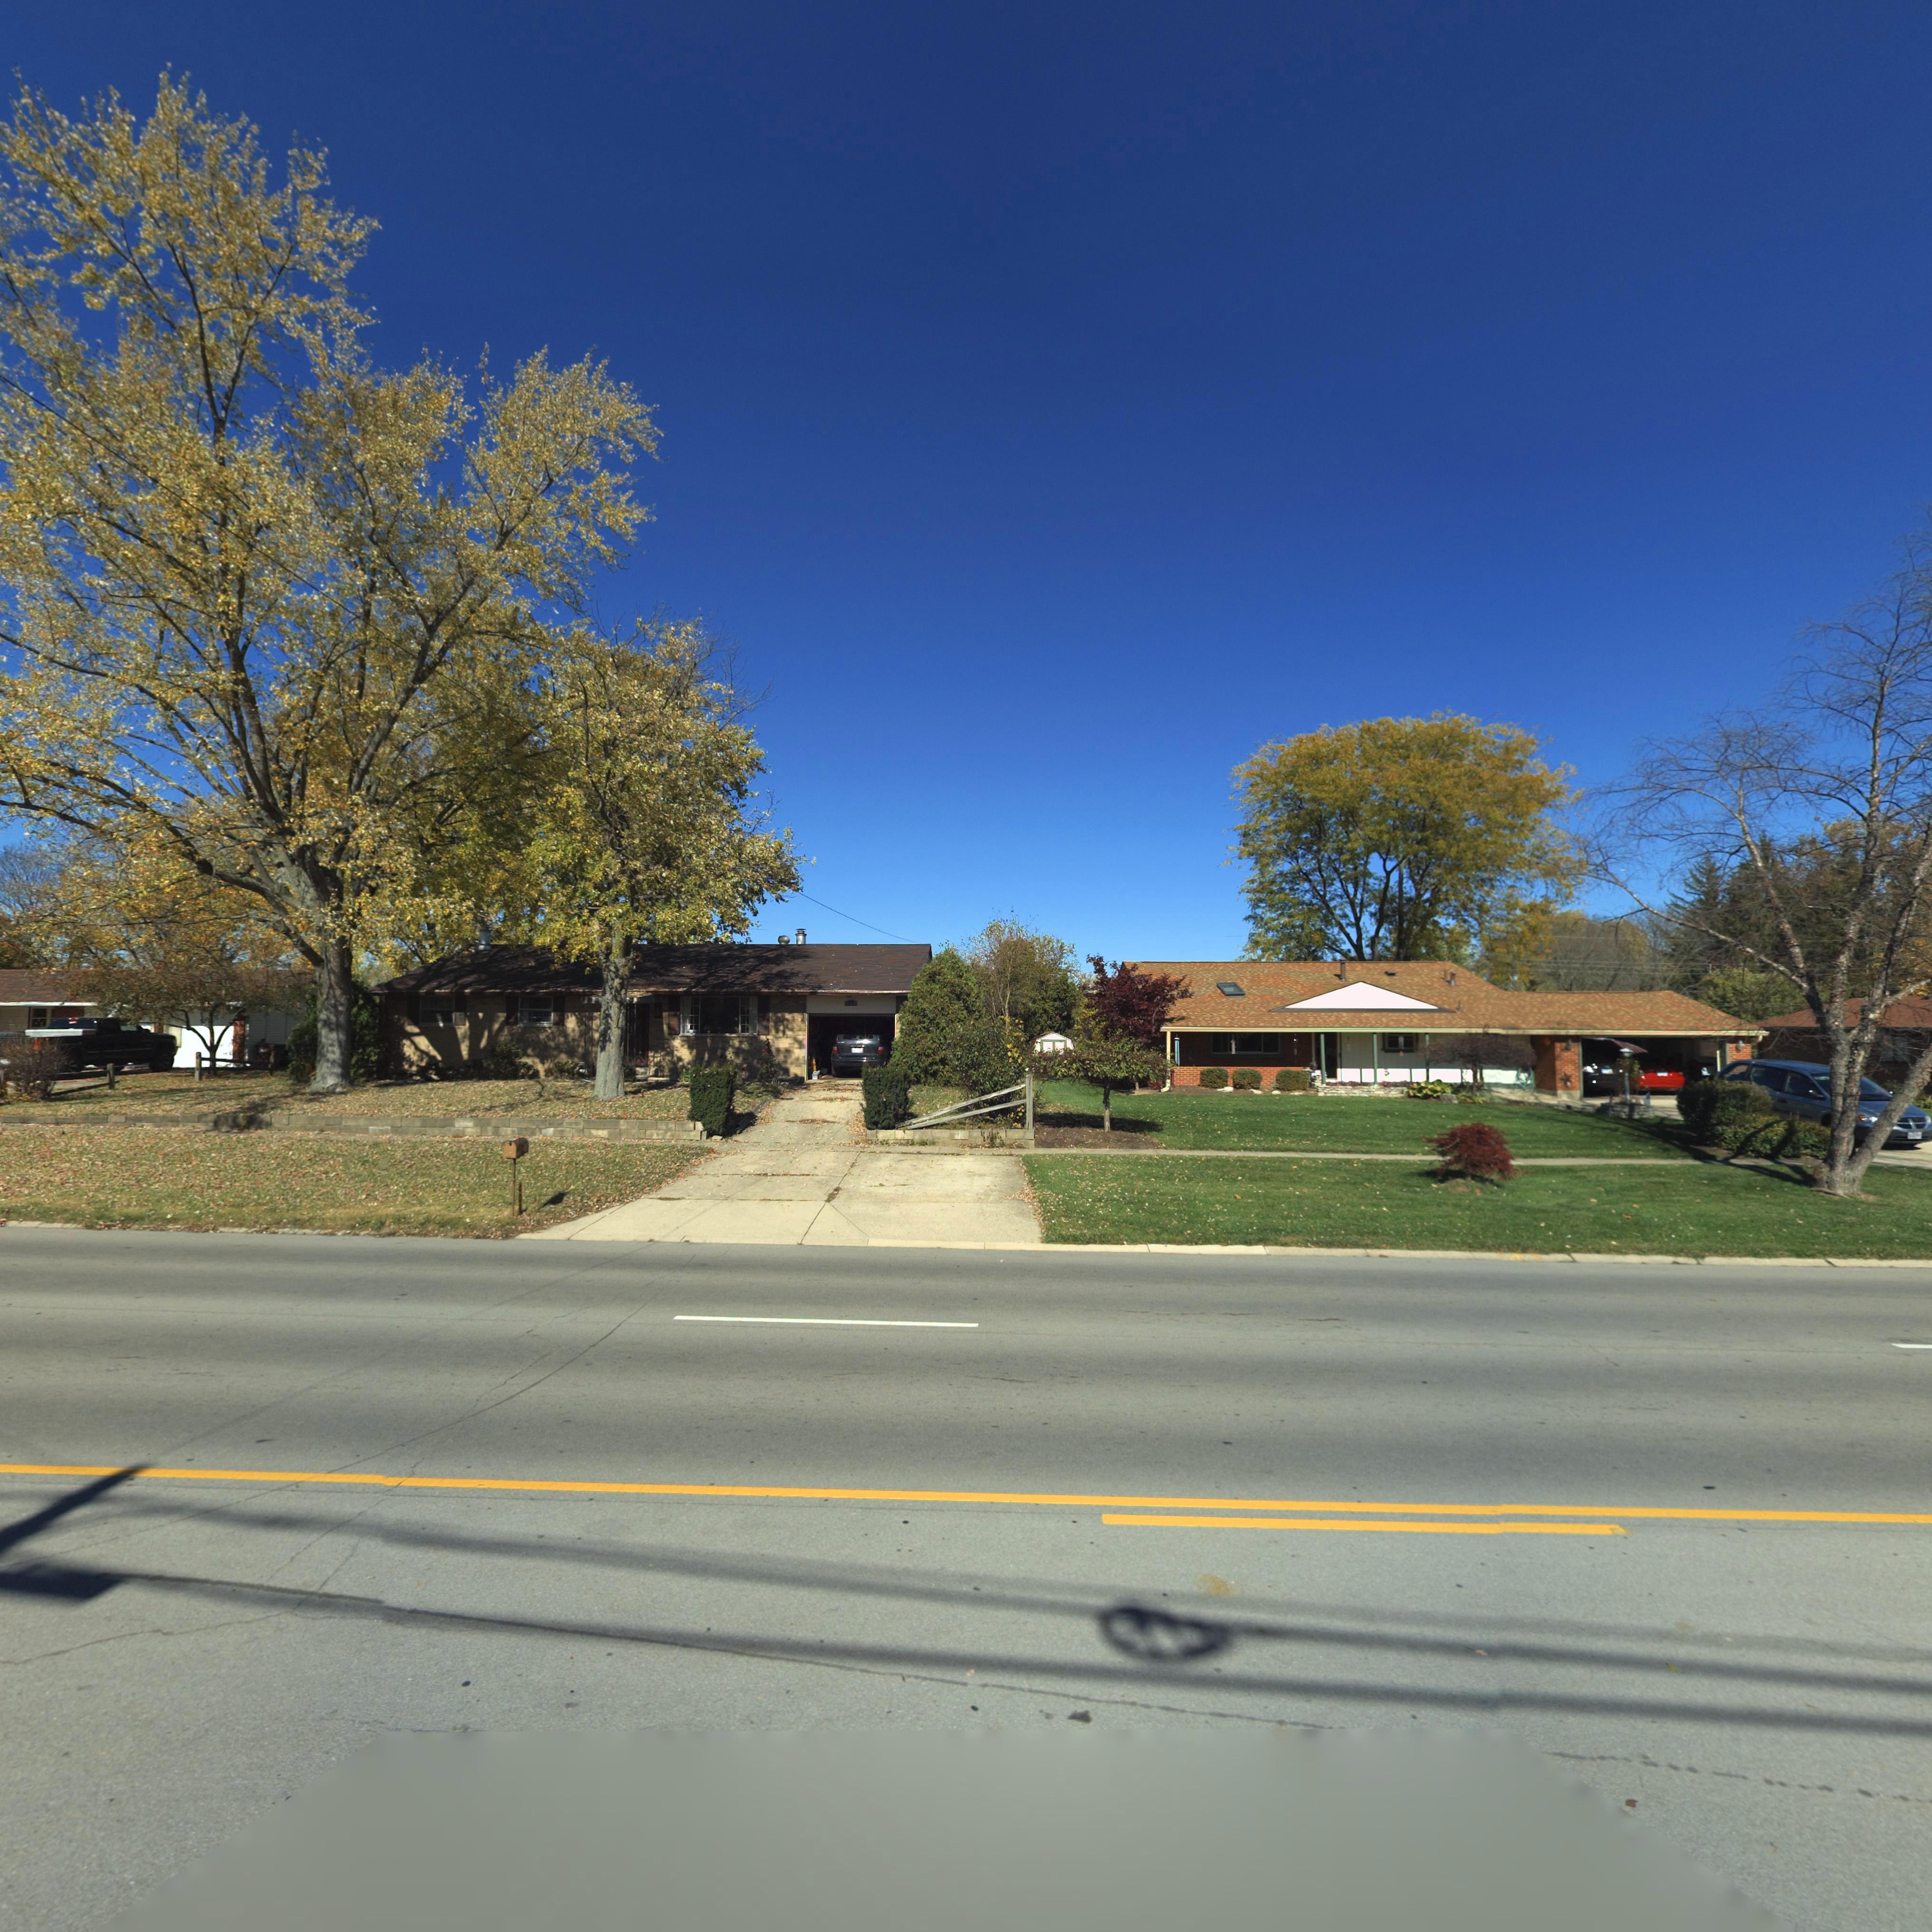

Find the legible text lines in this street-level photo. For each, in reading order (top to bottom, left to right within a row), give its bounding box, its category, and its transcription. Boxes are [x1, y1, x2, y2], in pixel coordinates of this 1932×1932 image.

[845, 1001, 857, 1006] StreetNumber: **9
[518, 1183, 522, 1205] StreetNumber: 40